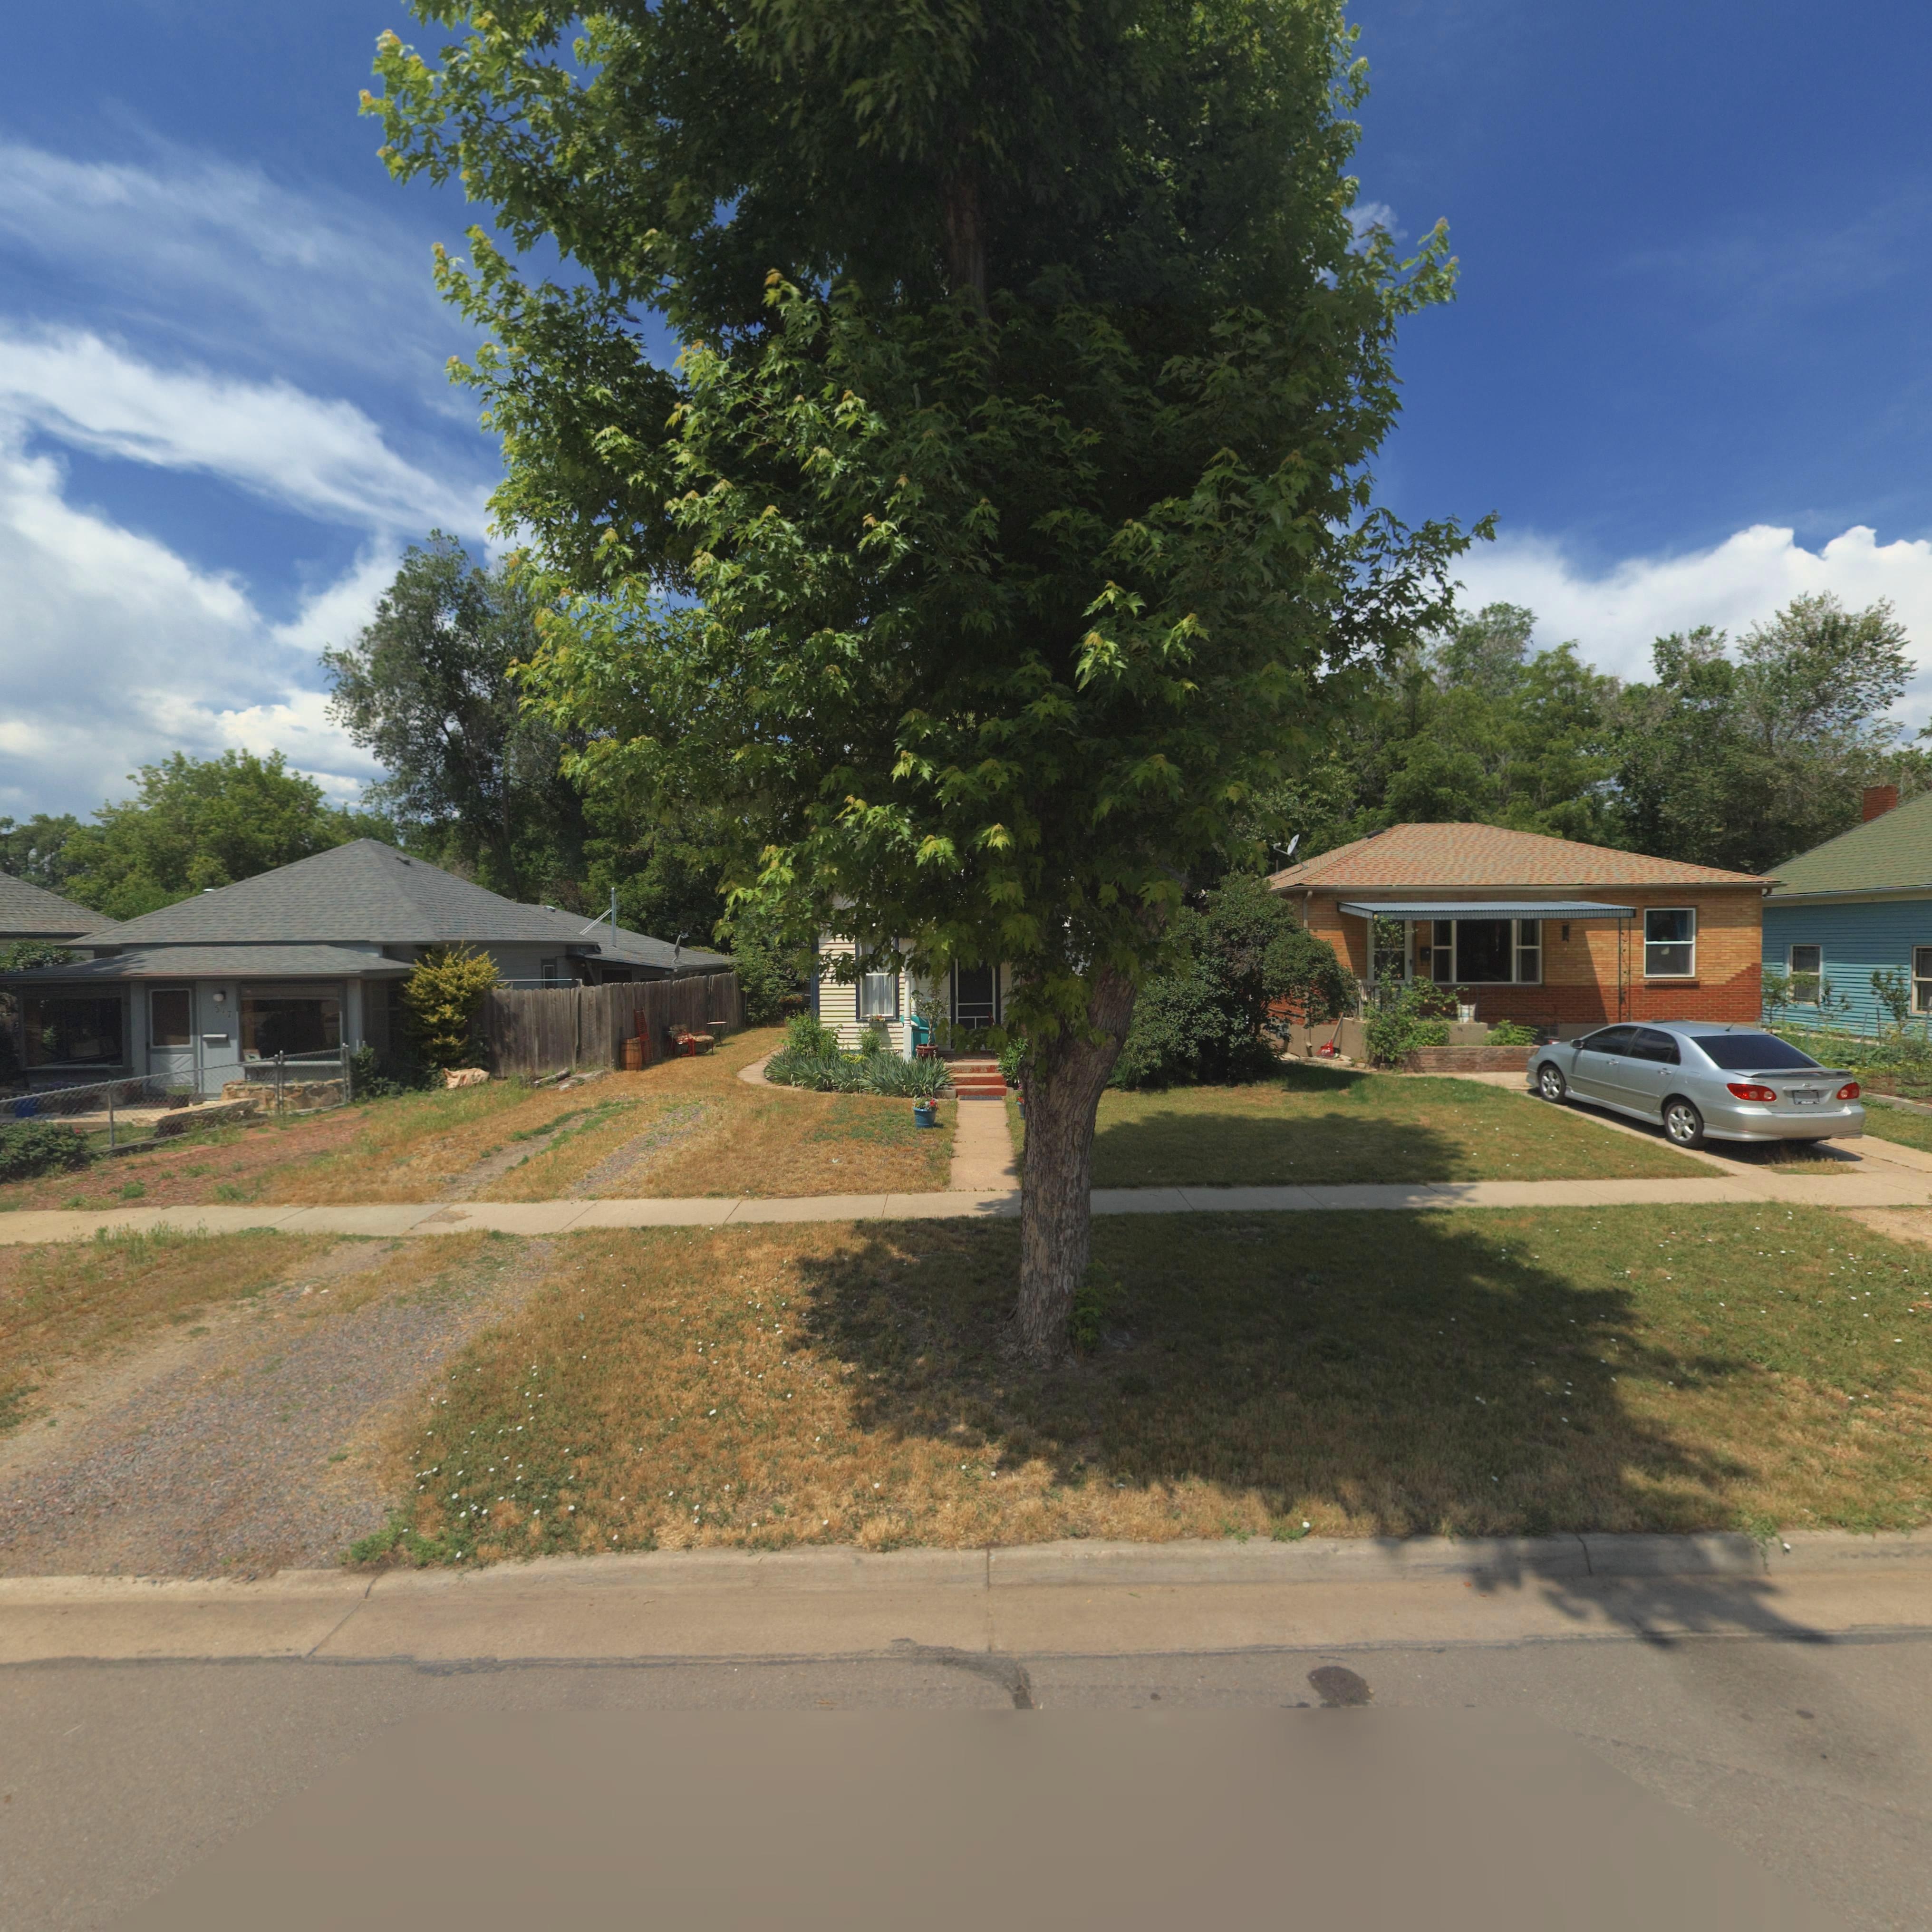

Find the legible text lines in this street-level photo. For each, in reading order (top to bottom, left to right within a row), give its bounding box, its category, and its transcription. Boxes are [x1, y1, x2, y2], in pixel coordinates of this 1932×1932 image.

[214, 1005, 232, 1018] StreetNumber: 517